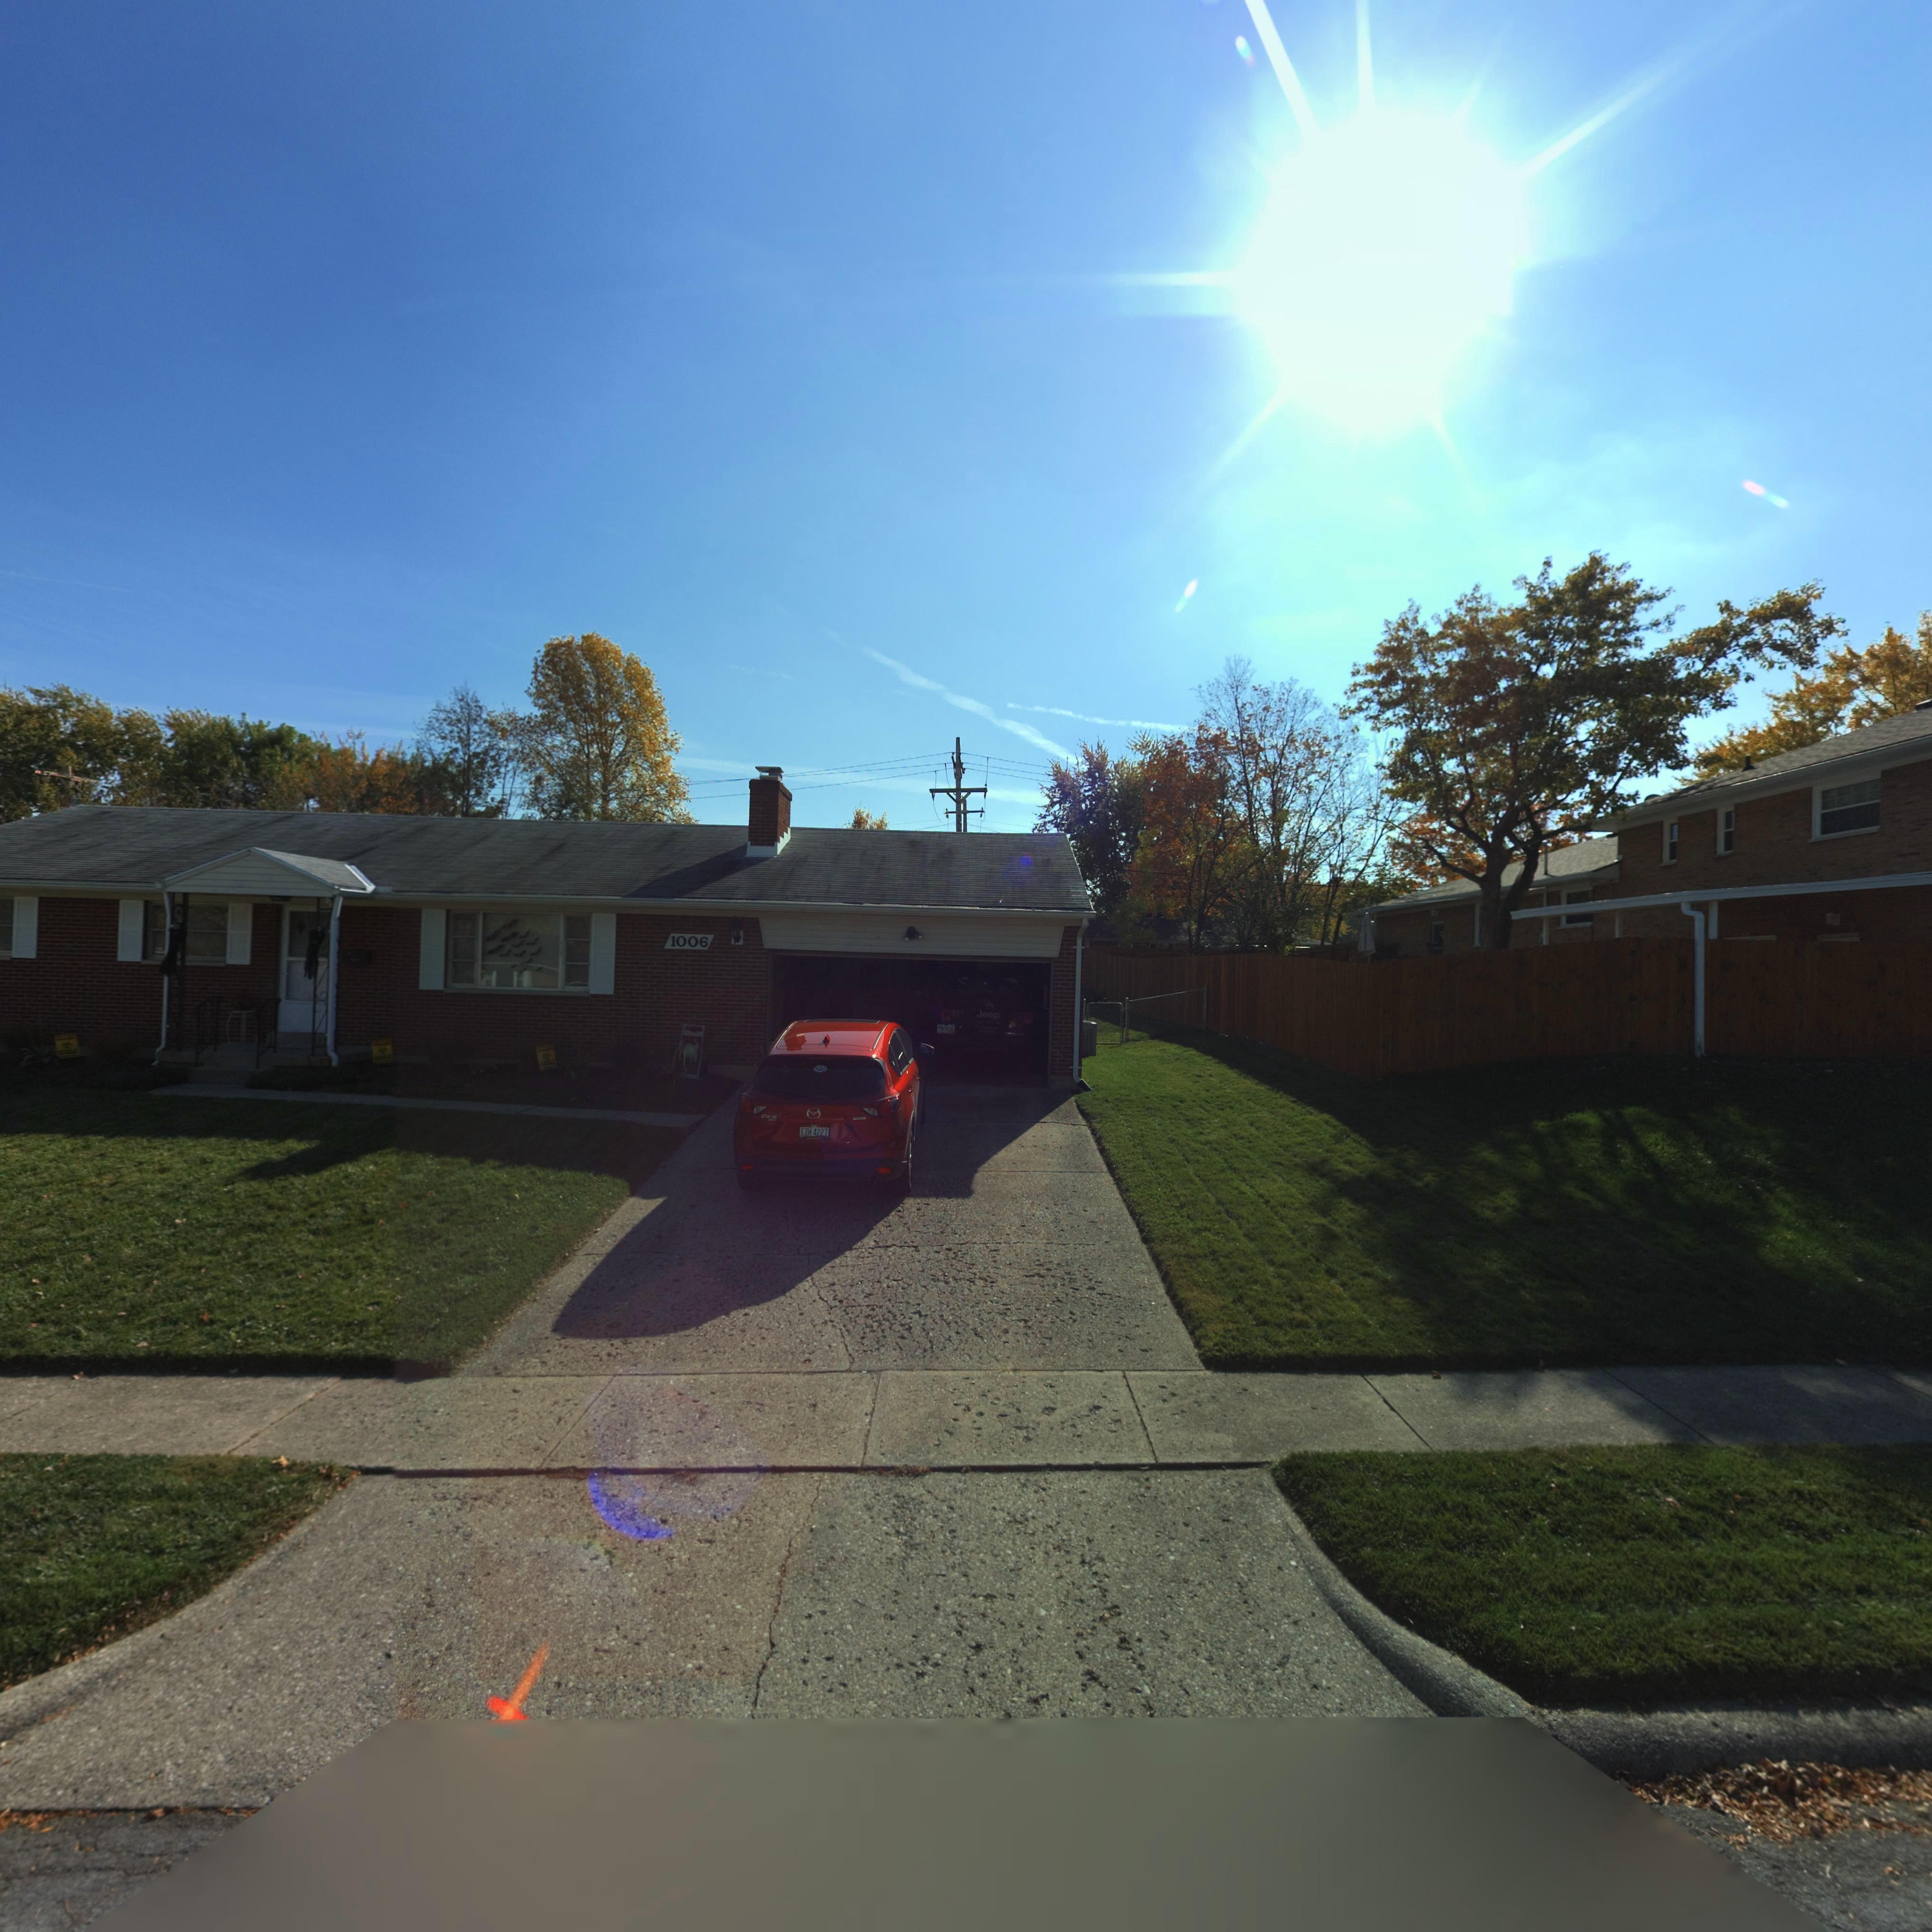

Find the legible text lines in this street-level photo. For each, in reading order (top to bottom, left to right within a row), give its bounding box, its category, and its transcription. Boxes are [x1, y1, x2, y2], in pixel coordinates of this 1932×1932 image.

[669, 934, 710, 949] StreetNumber: 1006
[976, 1008, 1001, 1022] None: Jeep
[800, 1127, 829, 1137] None: EZH 4227